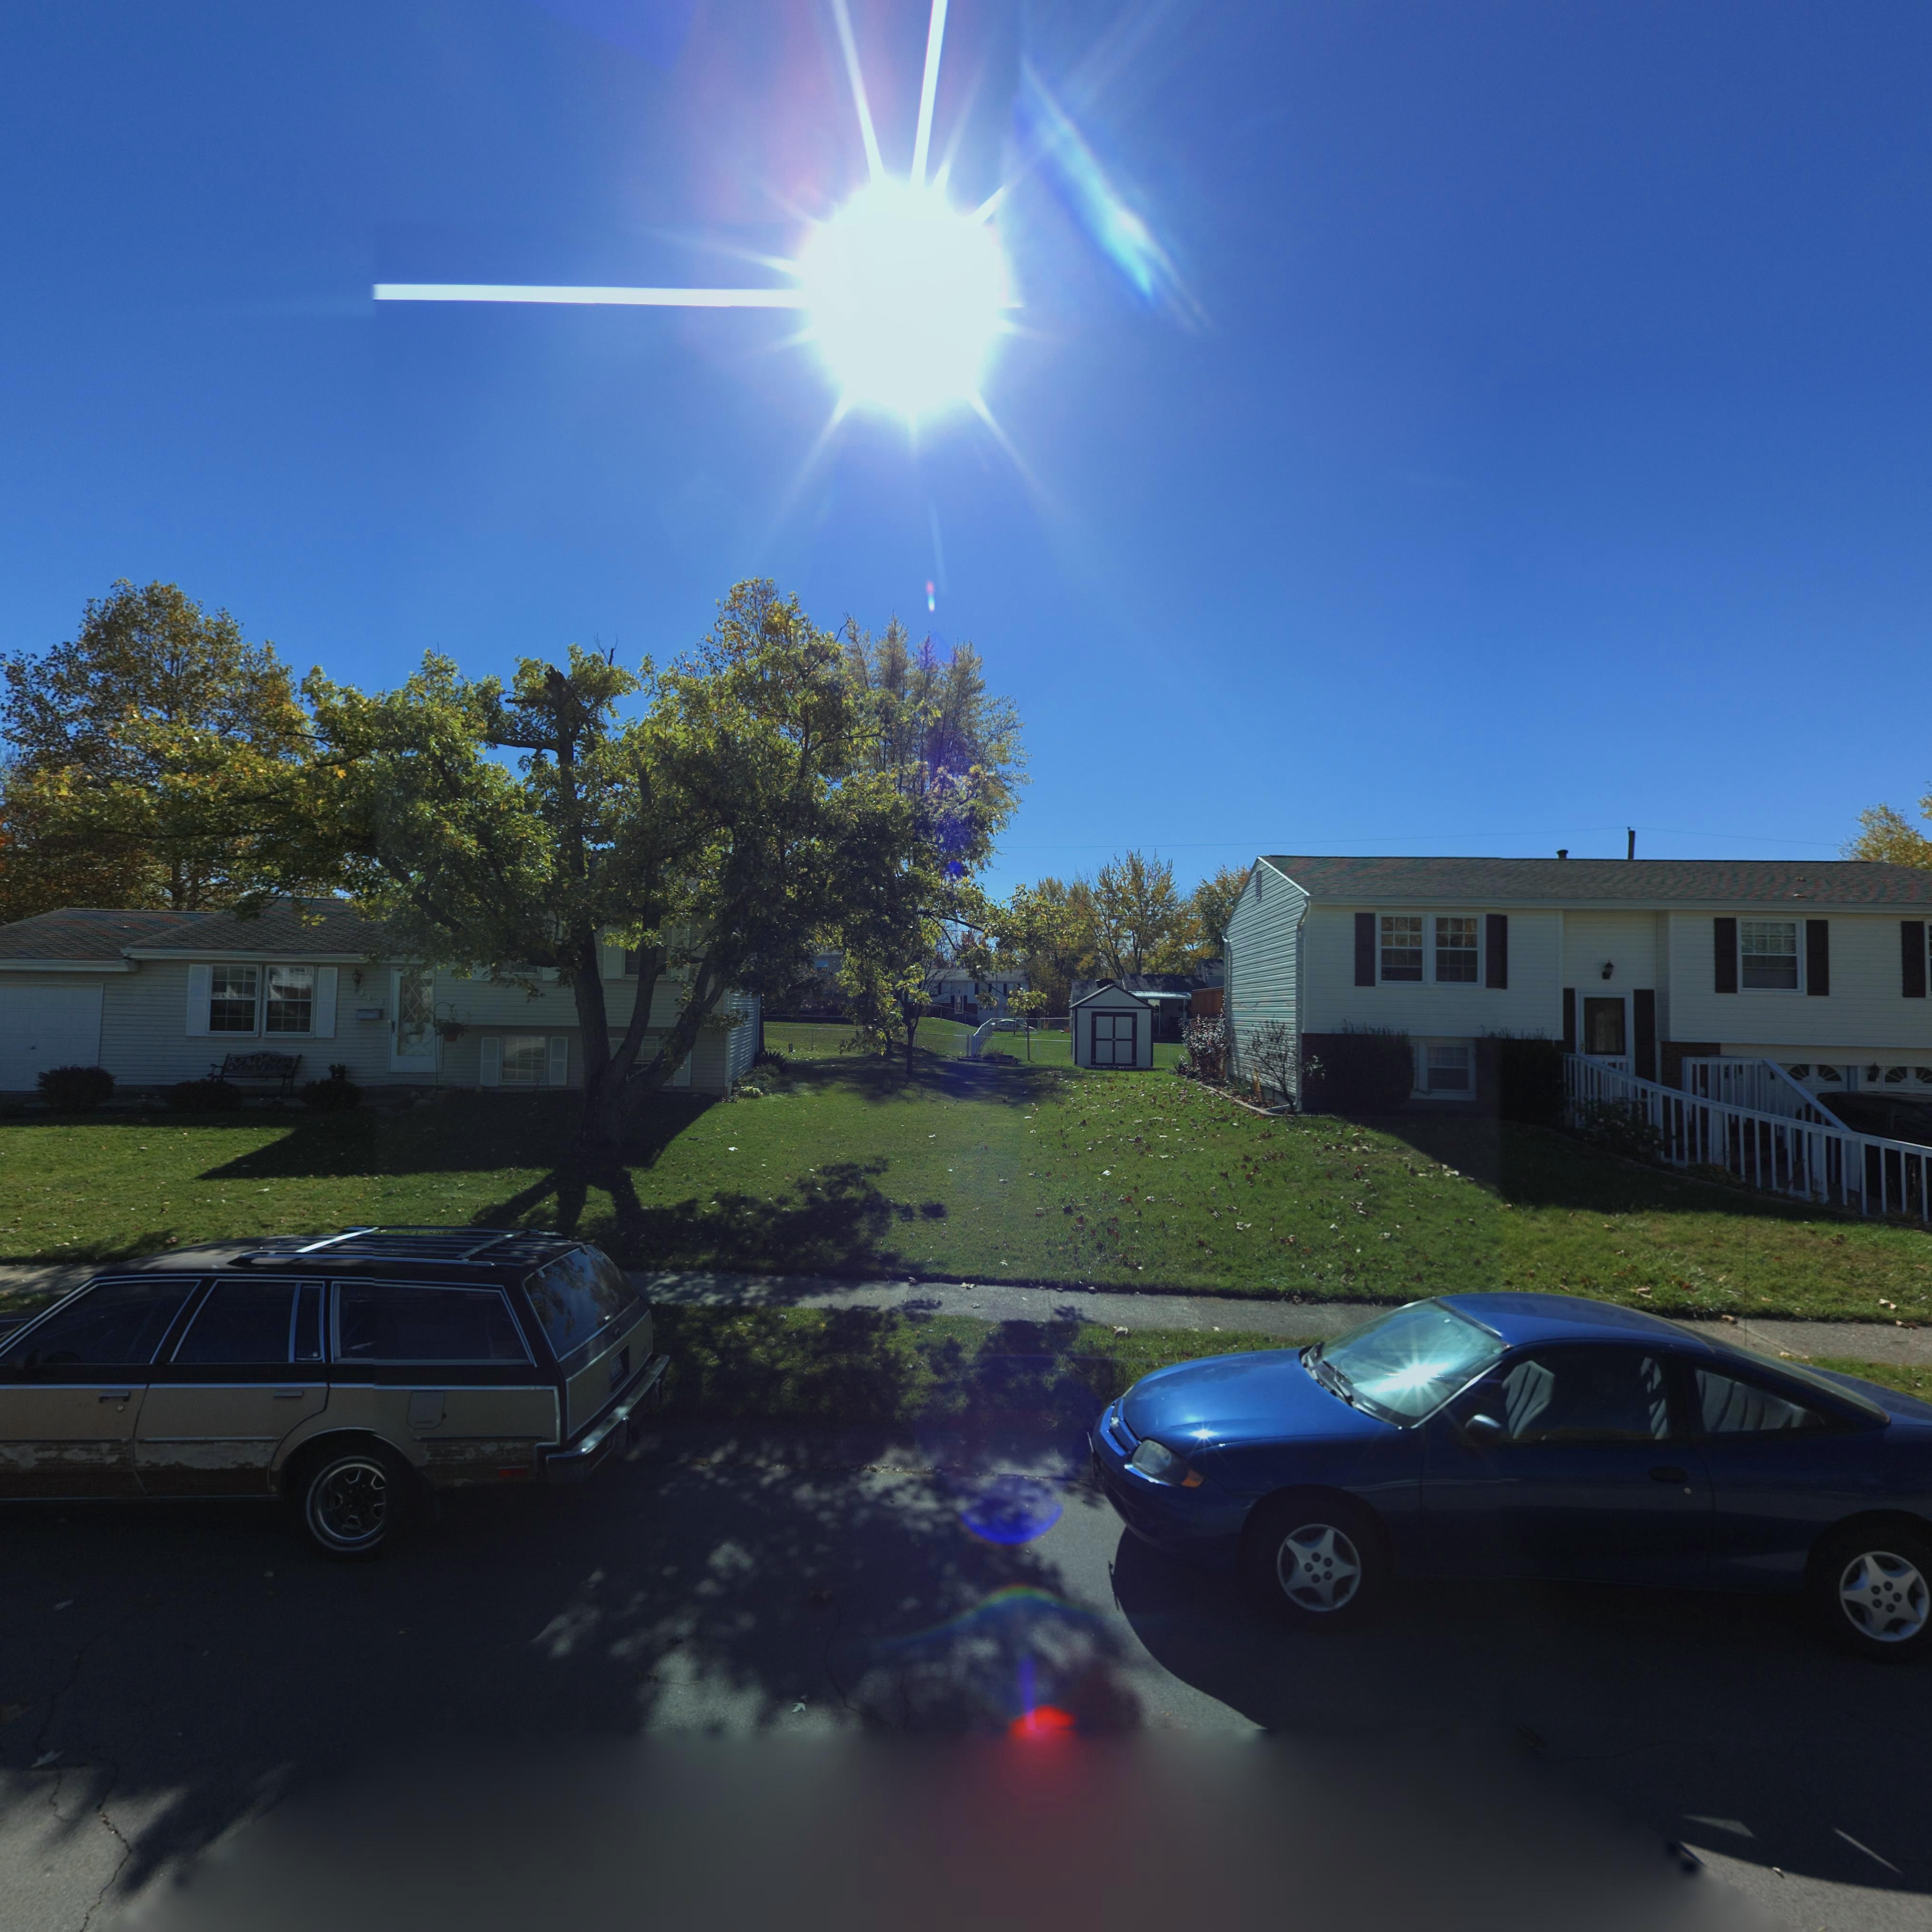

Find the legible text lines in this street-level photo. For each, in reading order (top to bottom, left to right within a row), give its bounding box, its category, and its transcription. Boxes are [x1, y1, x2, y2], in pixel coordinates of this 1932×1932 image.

[358, 988, 385, 1006] StreetNumber: 213